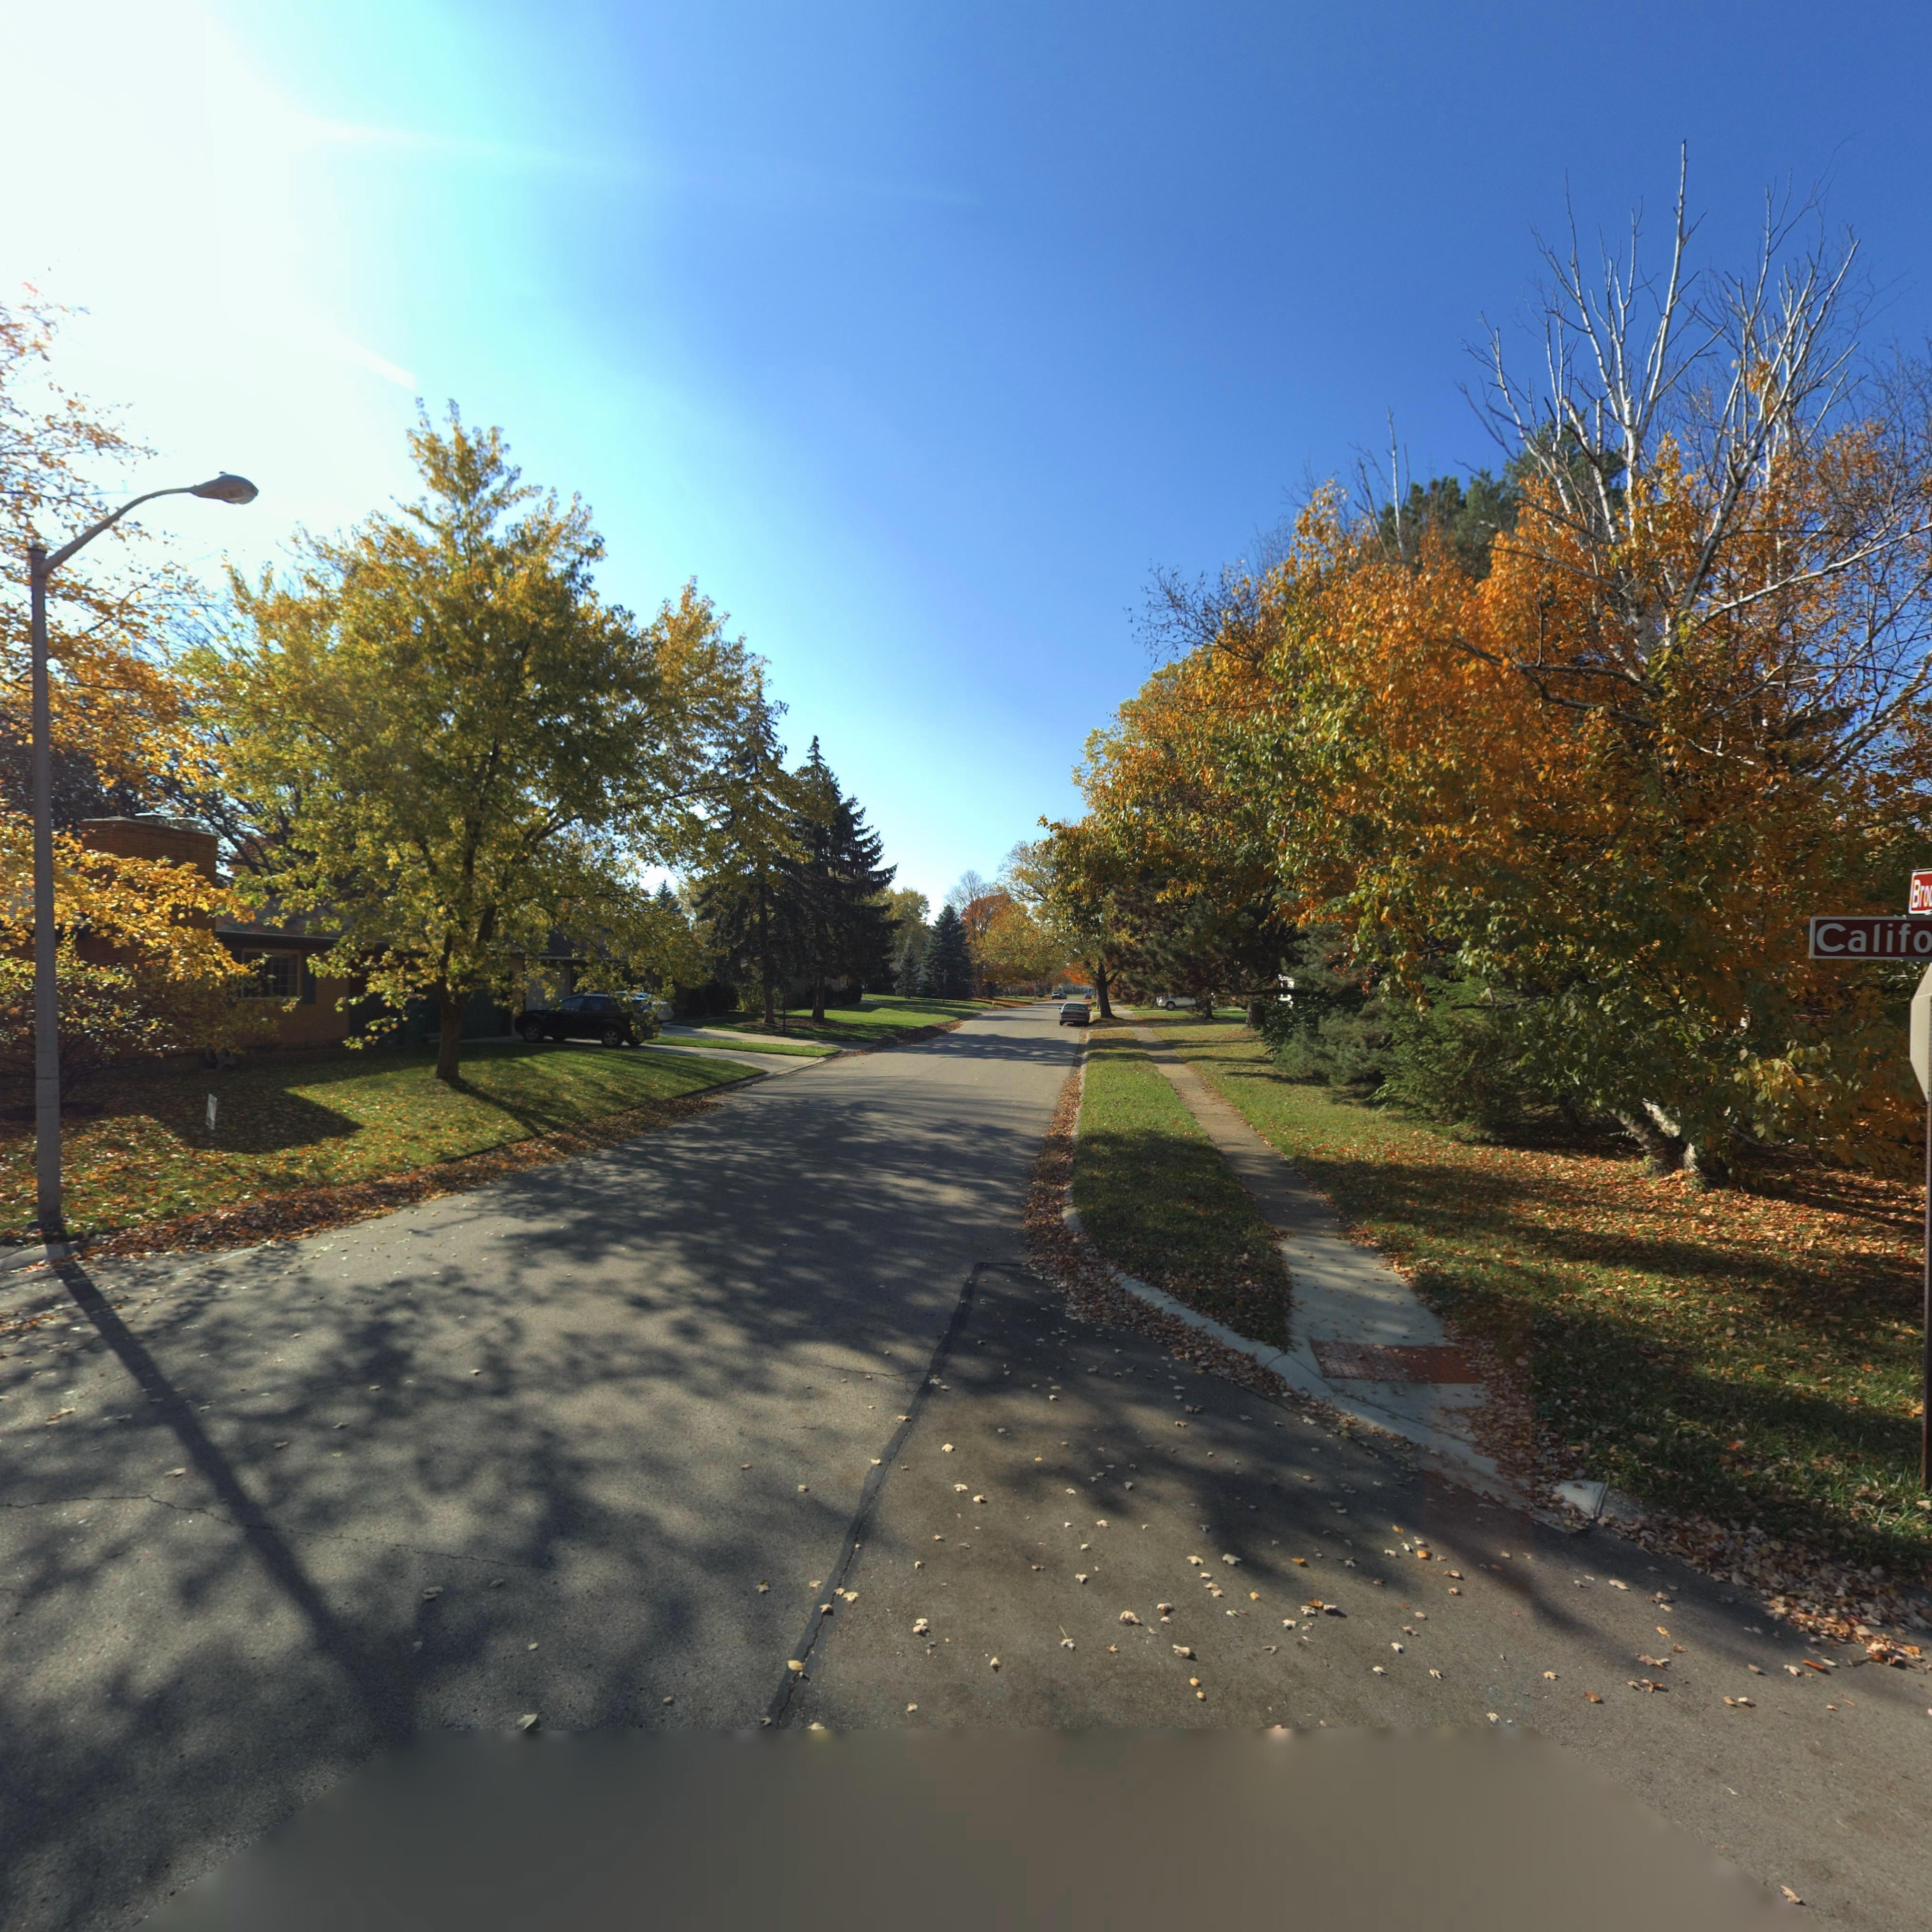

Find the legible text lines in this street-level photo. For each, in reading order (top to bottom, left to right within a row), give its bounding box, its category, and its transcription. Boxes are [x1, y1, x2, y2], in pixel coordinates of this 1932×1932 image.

[1912, 879, 1930, 908] StreetName: Bro
[1813, 919, 1929, 955] StreetName: Califo